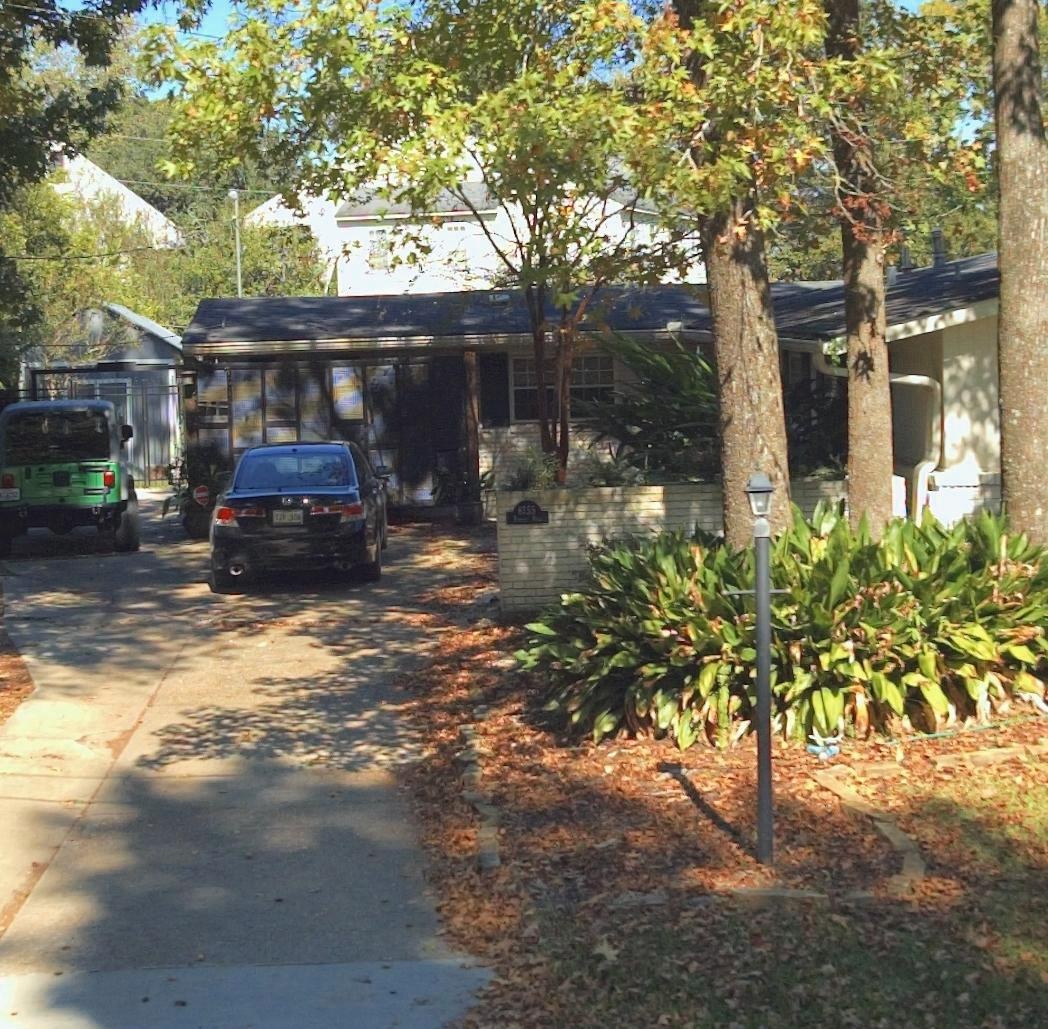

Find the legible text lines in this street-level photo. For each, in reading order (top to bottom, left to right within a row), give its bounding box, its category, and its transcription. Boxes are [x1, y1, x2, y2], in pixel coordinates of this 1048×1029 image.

[516, 503, 538, 517] StreetNumber: 8755